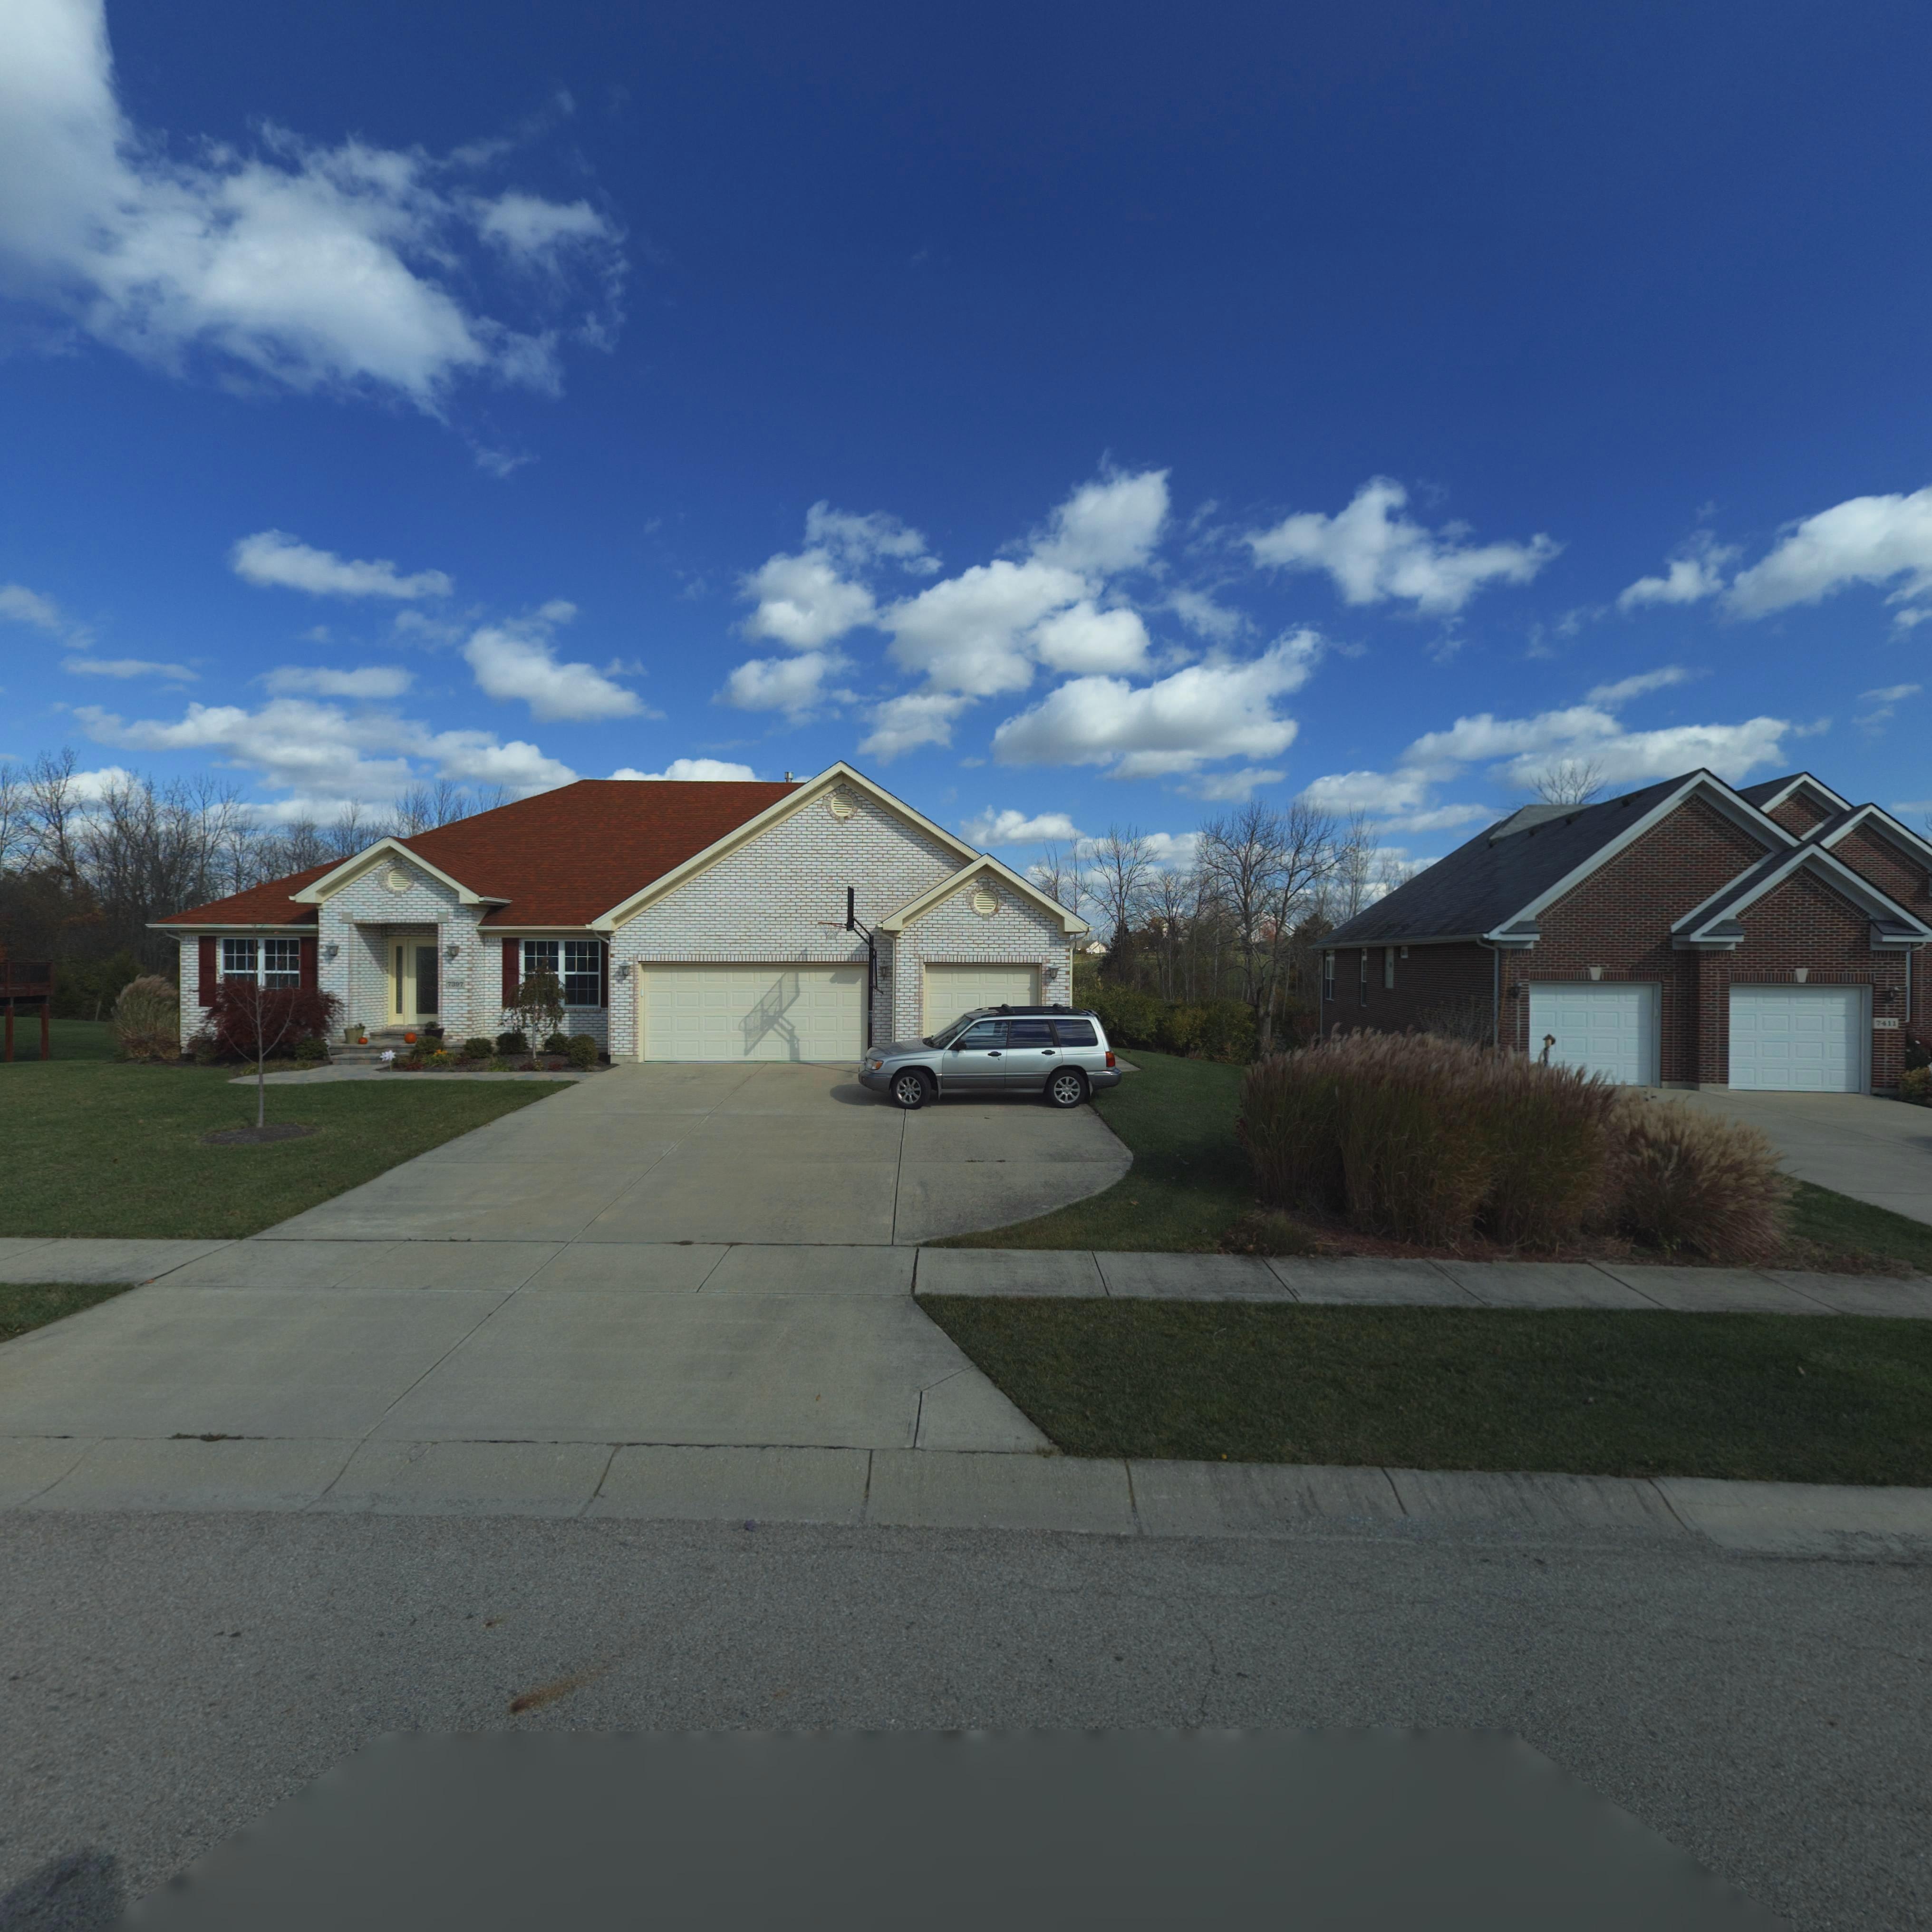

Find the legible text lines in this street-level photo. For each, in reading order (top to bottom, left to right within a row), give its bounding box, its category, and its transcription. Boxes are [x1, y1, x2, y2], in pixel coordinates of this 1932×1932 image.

[447, 981, 464, 987] StreetNumber: 7397
[1875, 1019, 1897, 1027] StreetNumber: 7411